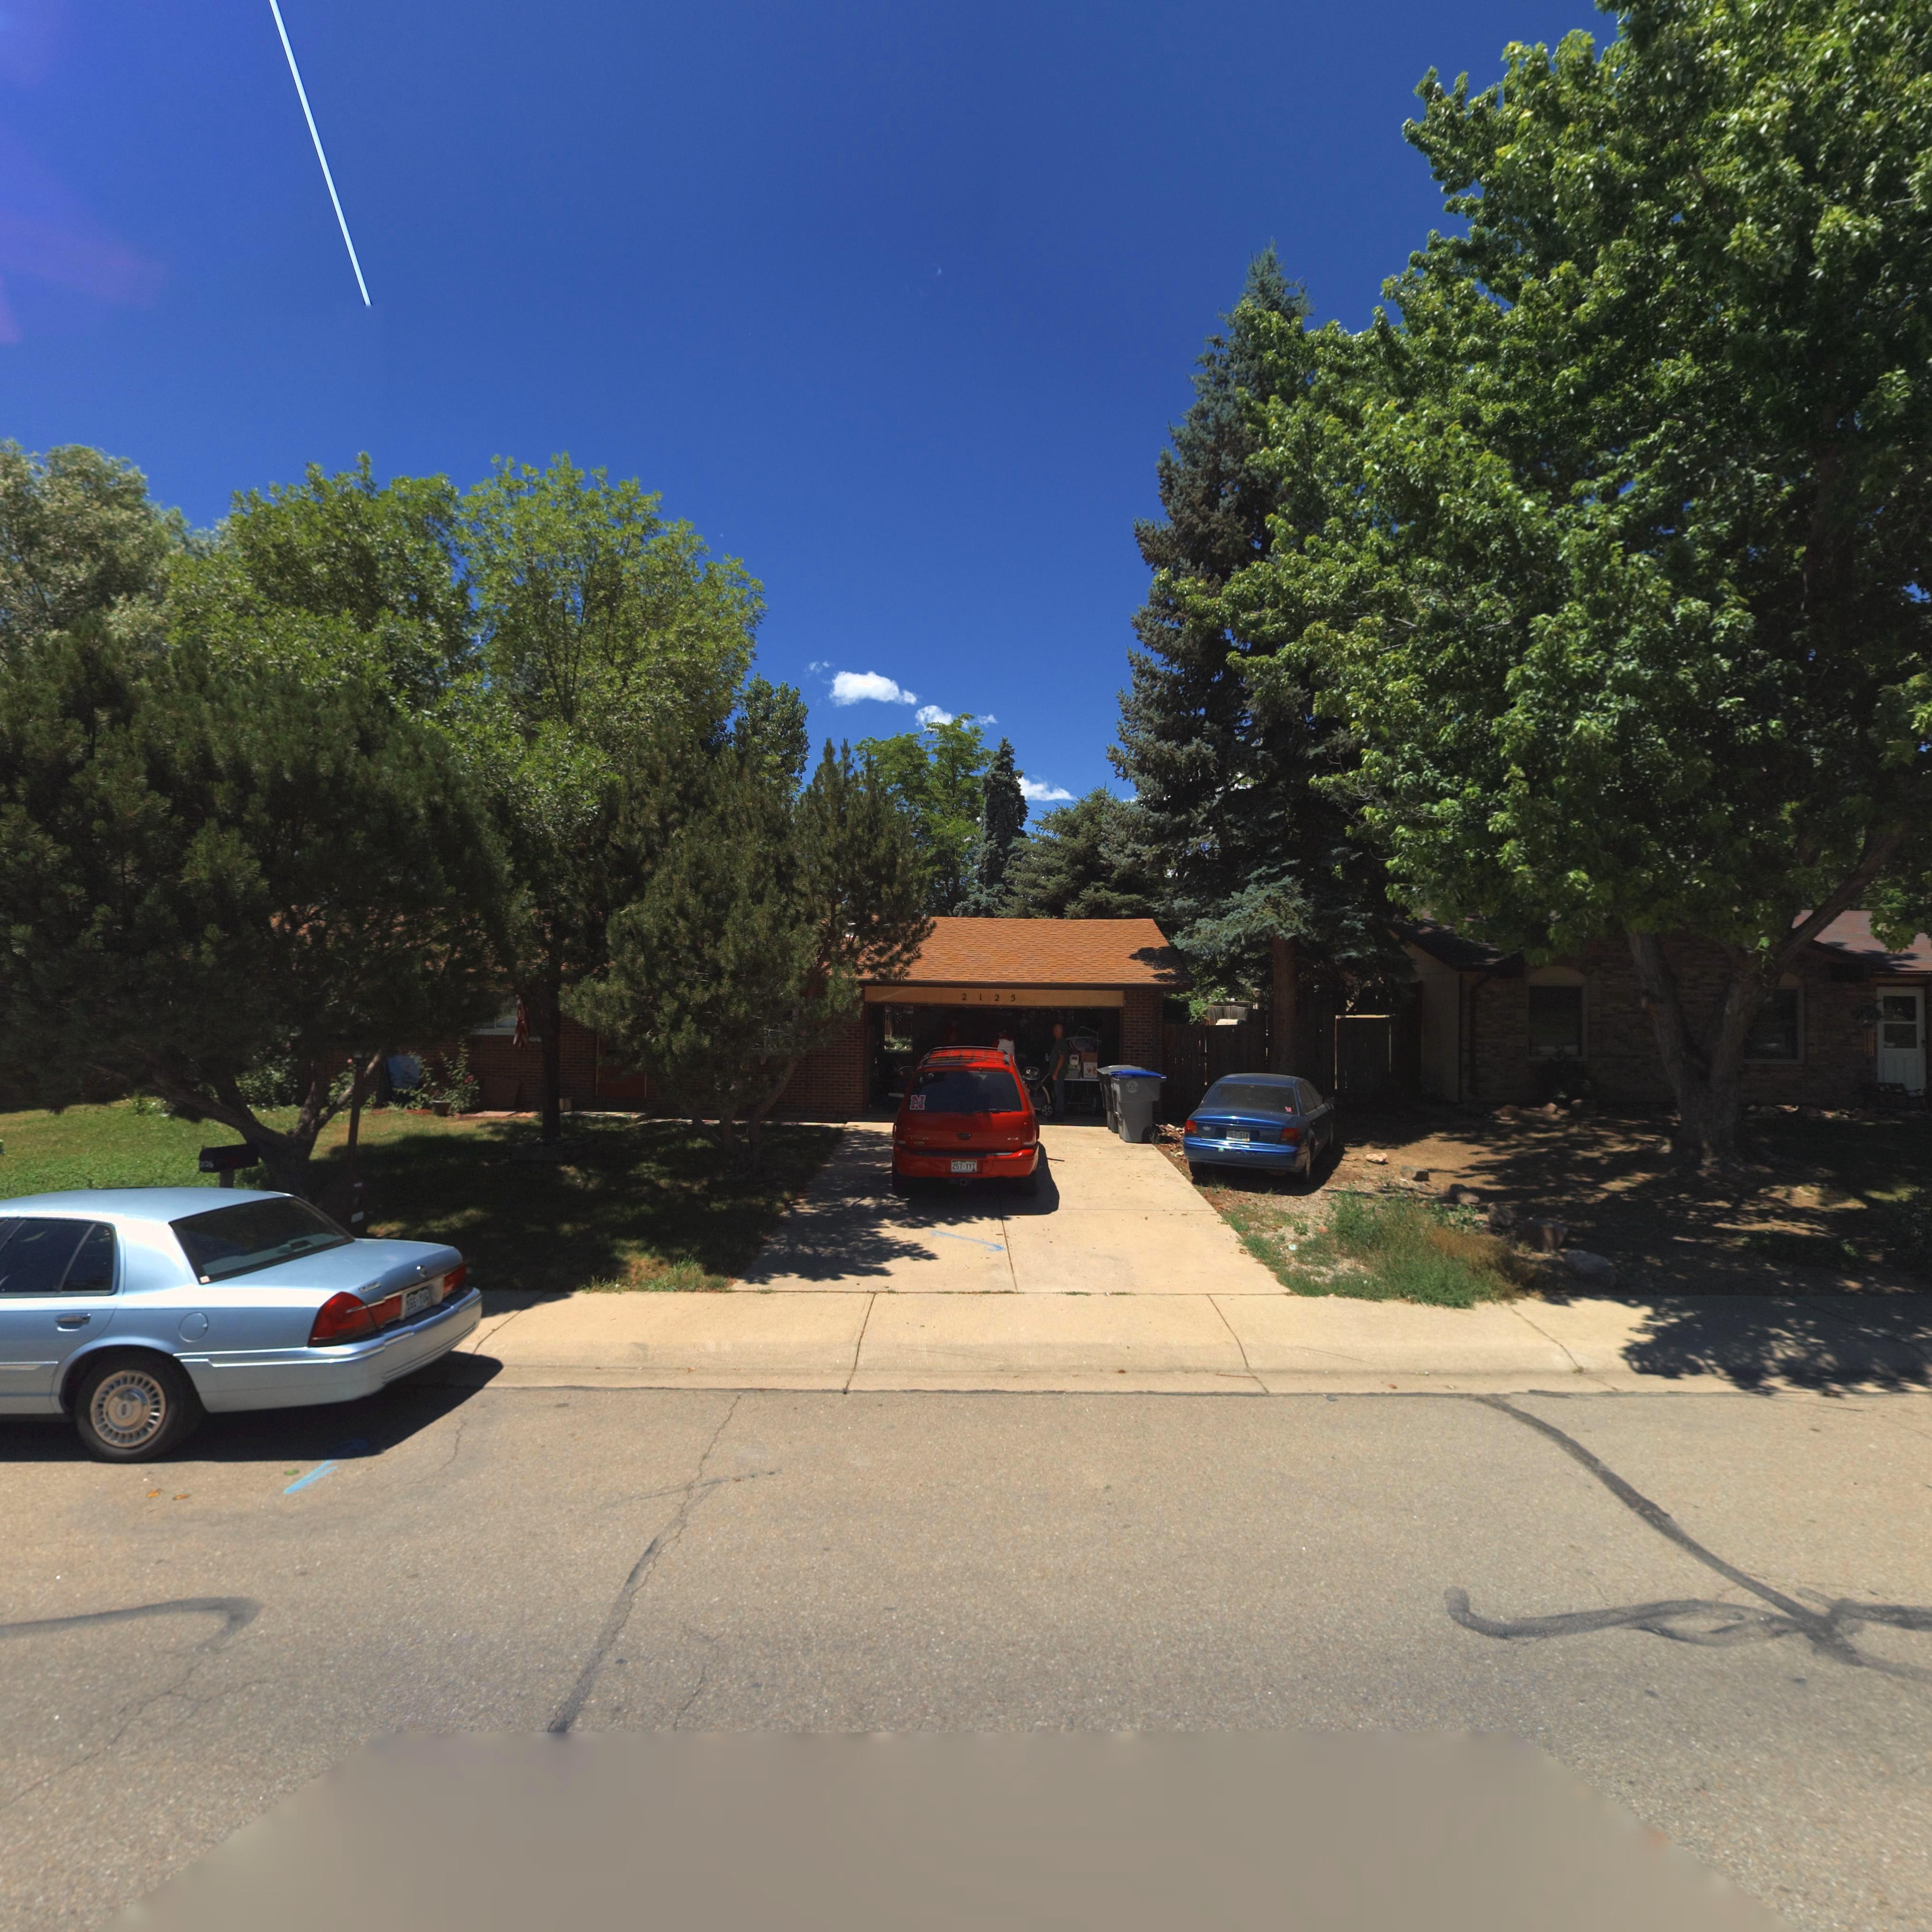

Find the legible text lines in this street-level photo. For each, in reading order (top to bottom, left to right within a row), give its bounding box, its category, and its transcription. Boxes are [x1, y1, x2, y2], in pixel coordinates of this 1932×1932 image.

[960, 992, 1017, 1002] StreetNumber: 2125